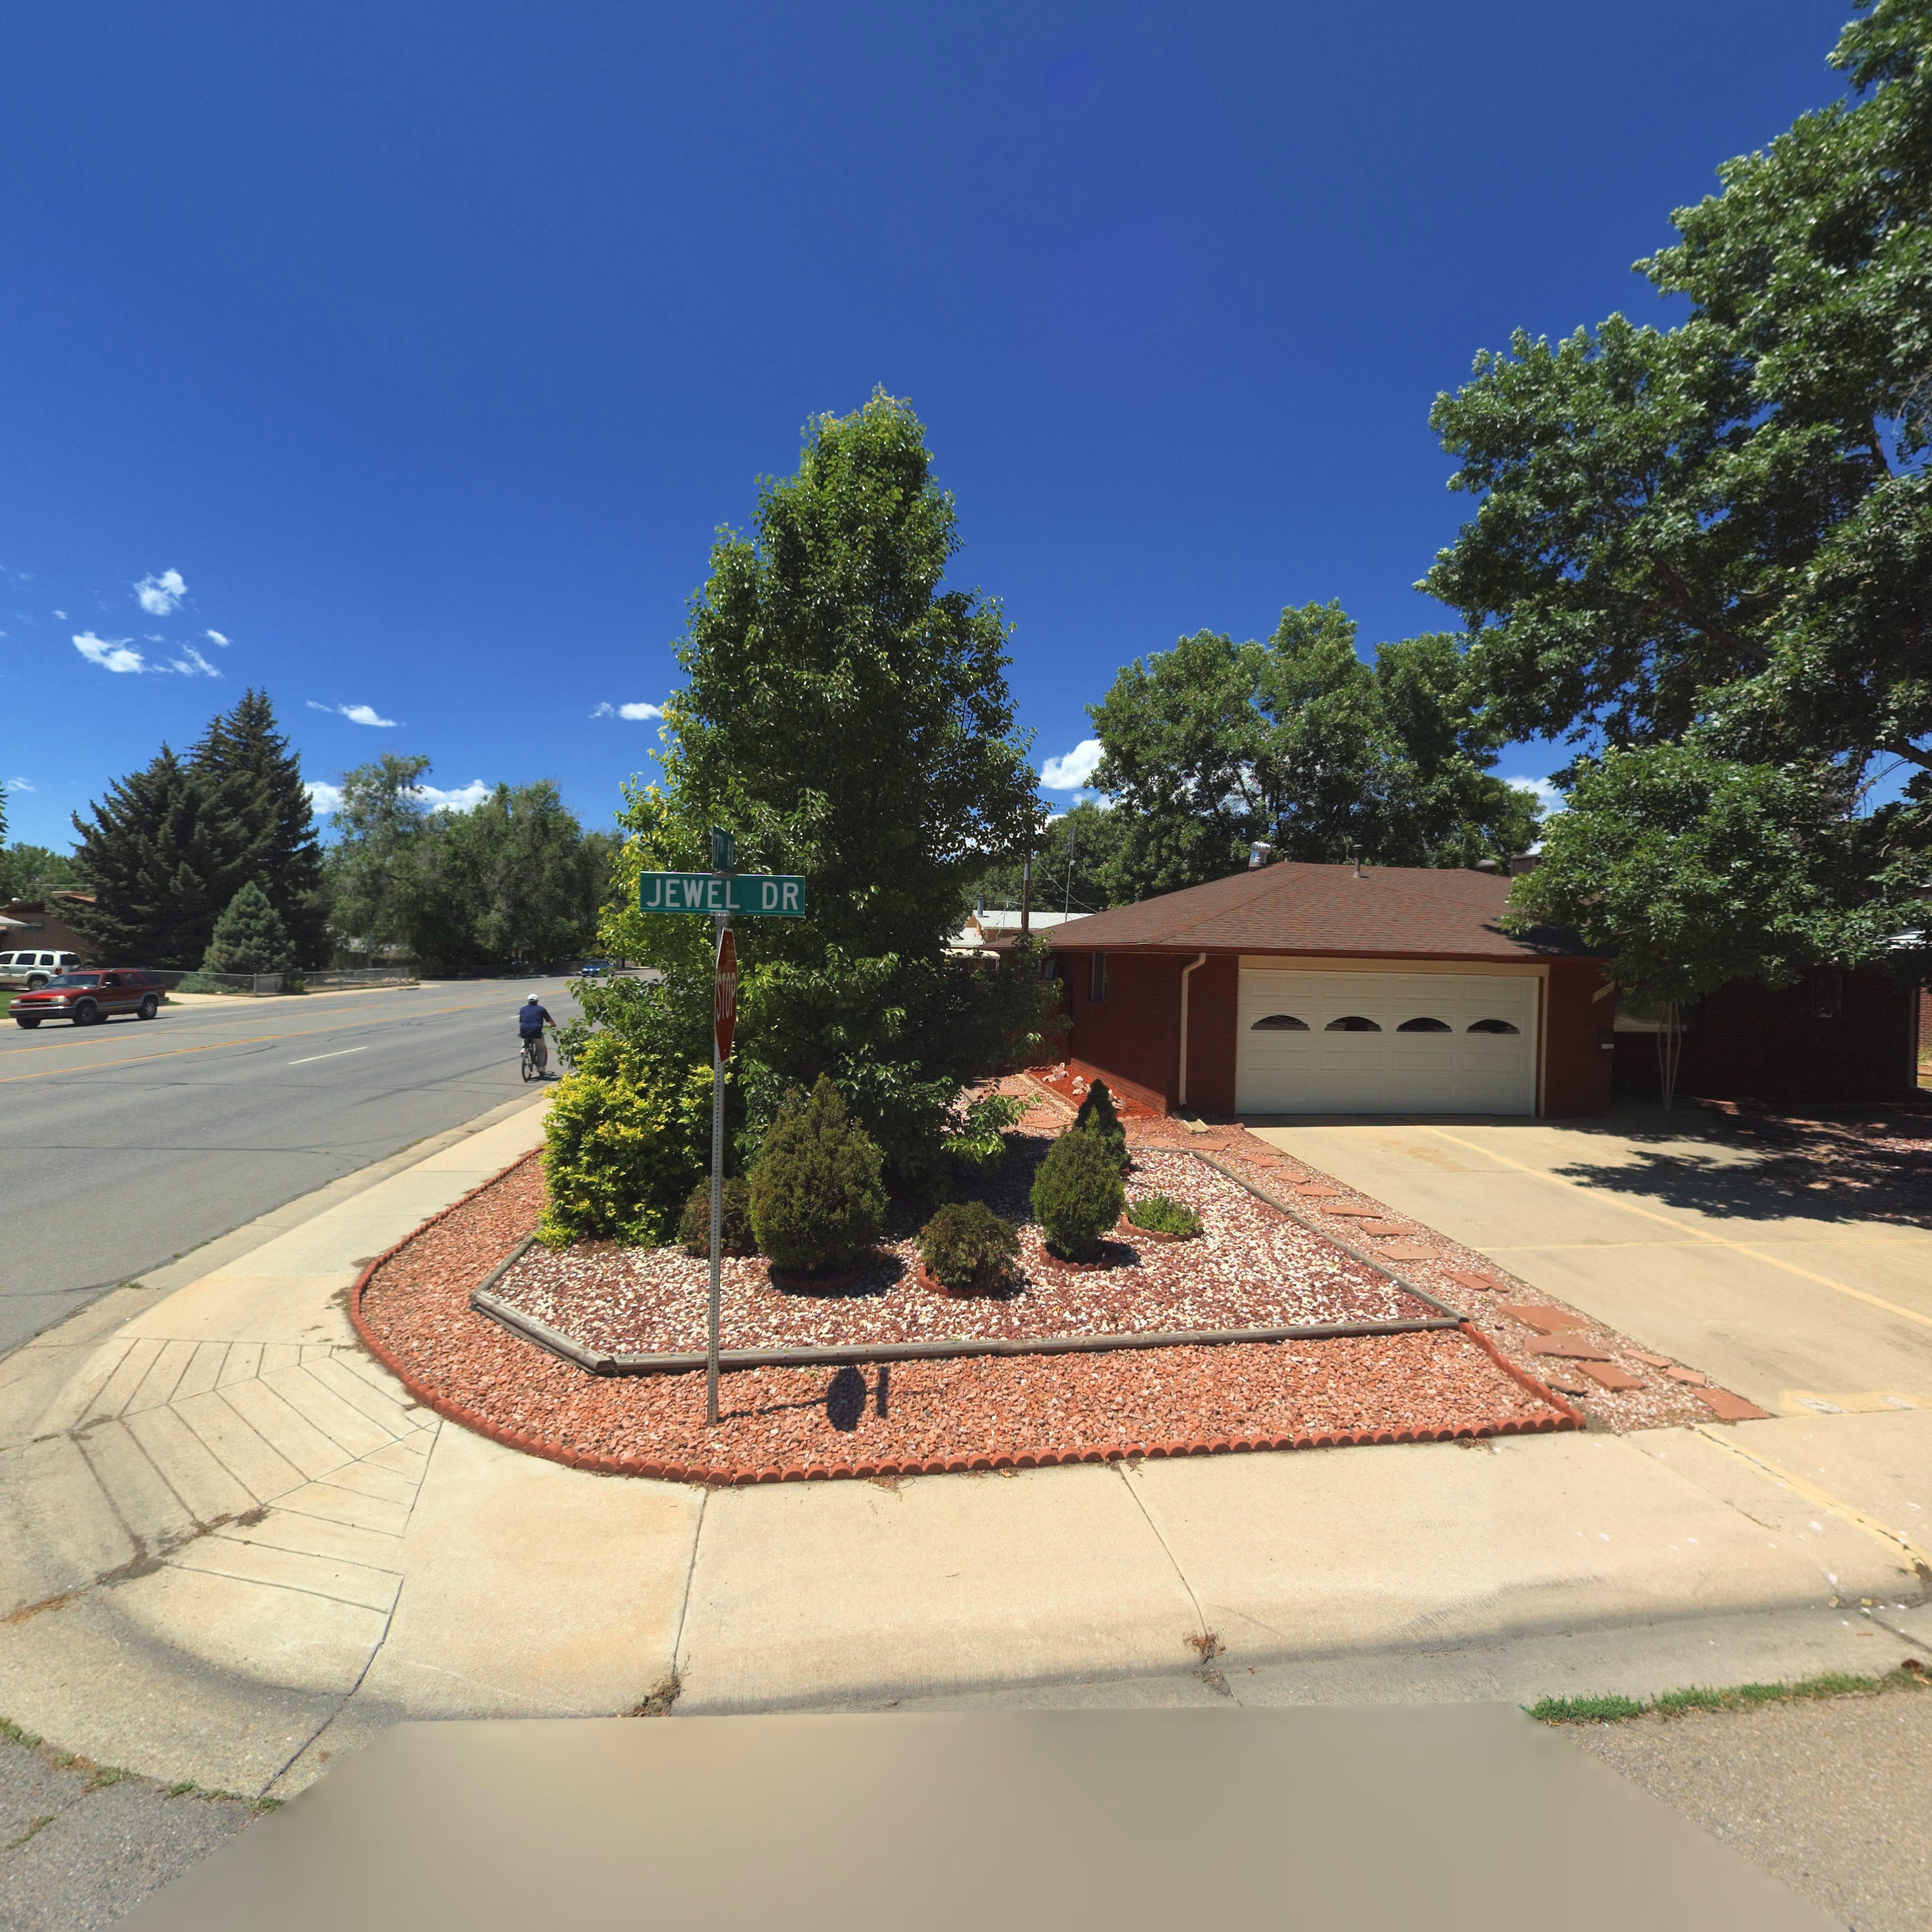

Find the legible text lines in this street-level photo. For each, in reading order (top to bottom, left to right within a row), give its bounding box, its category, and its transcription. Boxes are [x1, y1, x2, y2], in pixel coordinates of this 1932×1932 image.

[714, 832, 734, 869] StreetName: 17TH AV
[645, 878, 799, 910] StreetName: JEWEL DR
[1597, 983, 1612, 999] StreetNumber: 1701